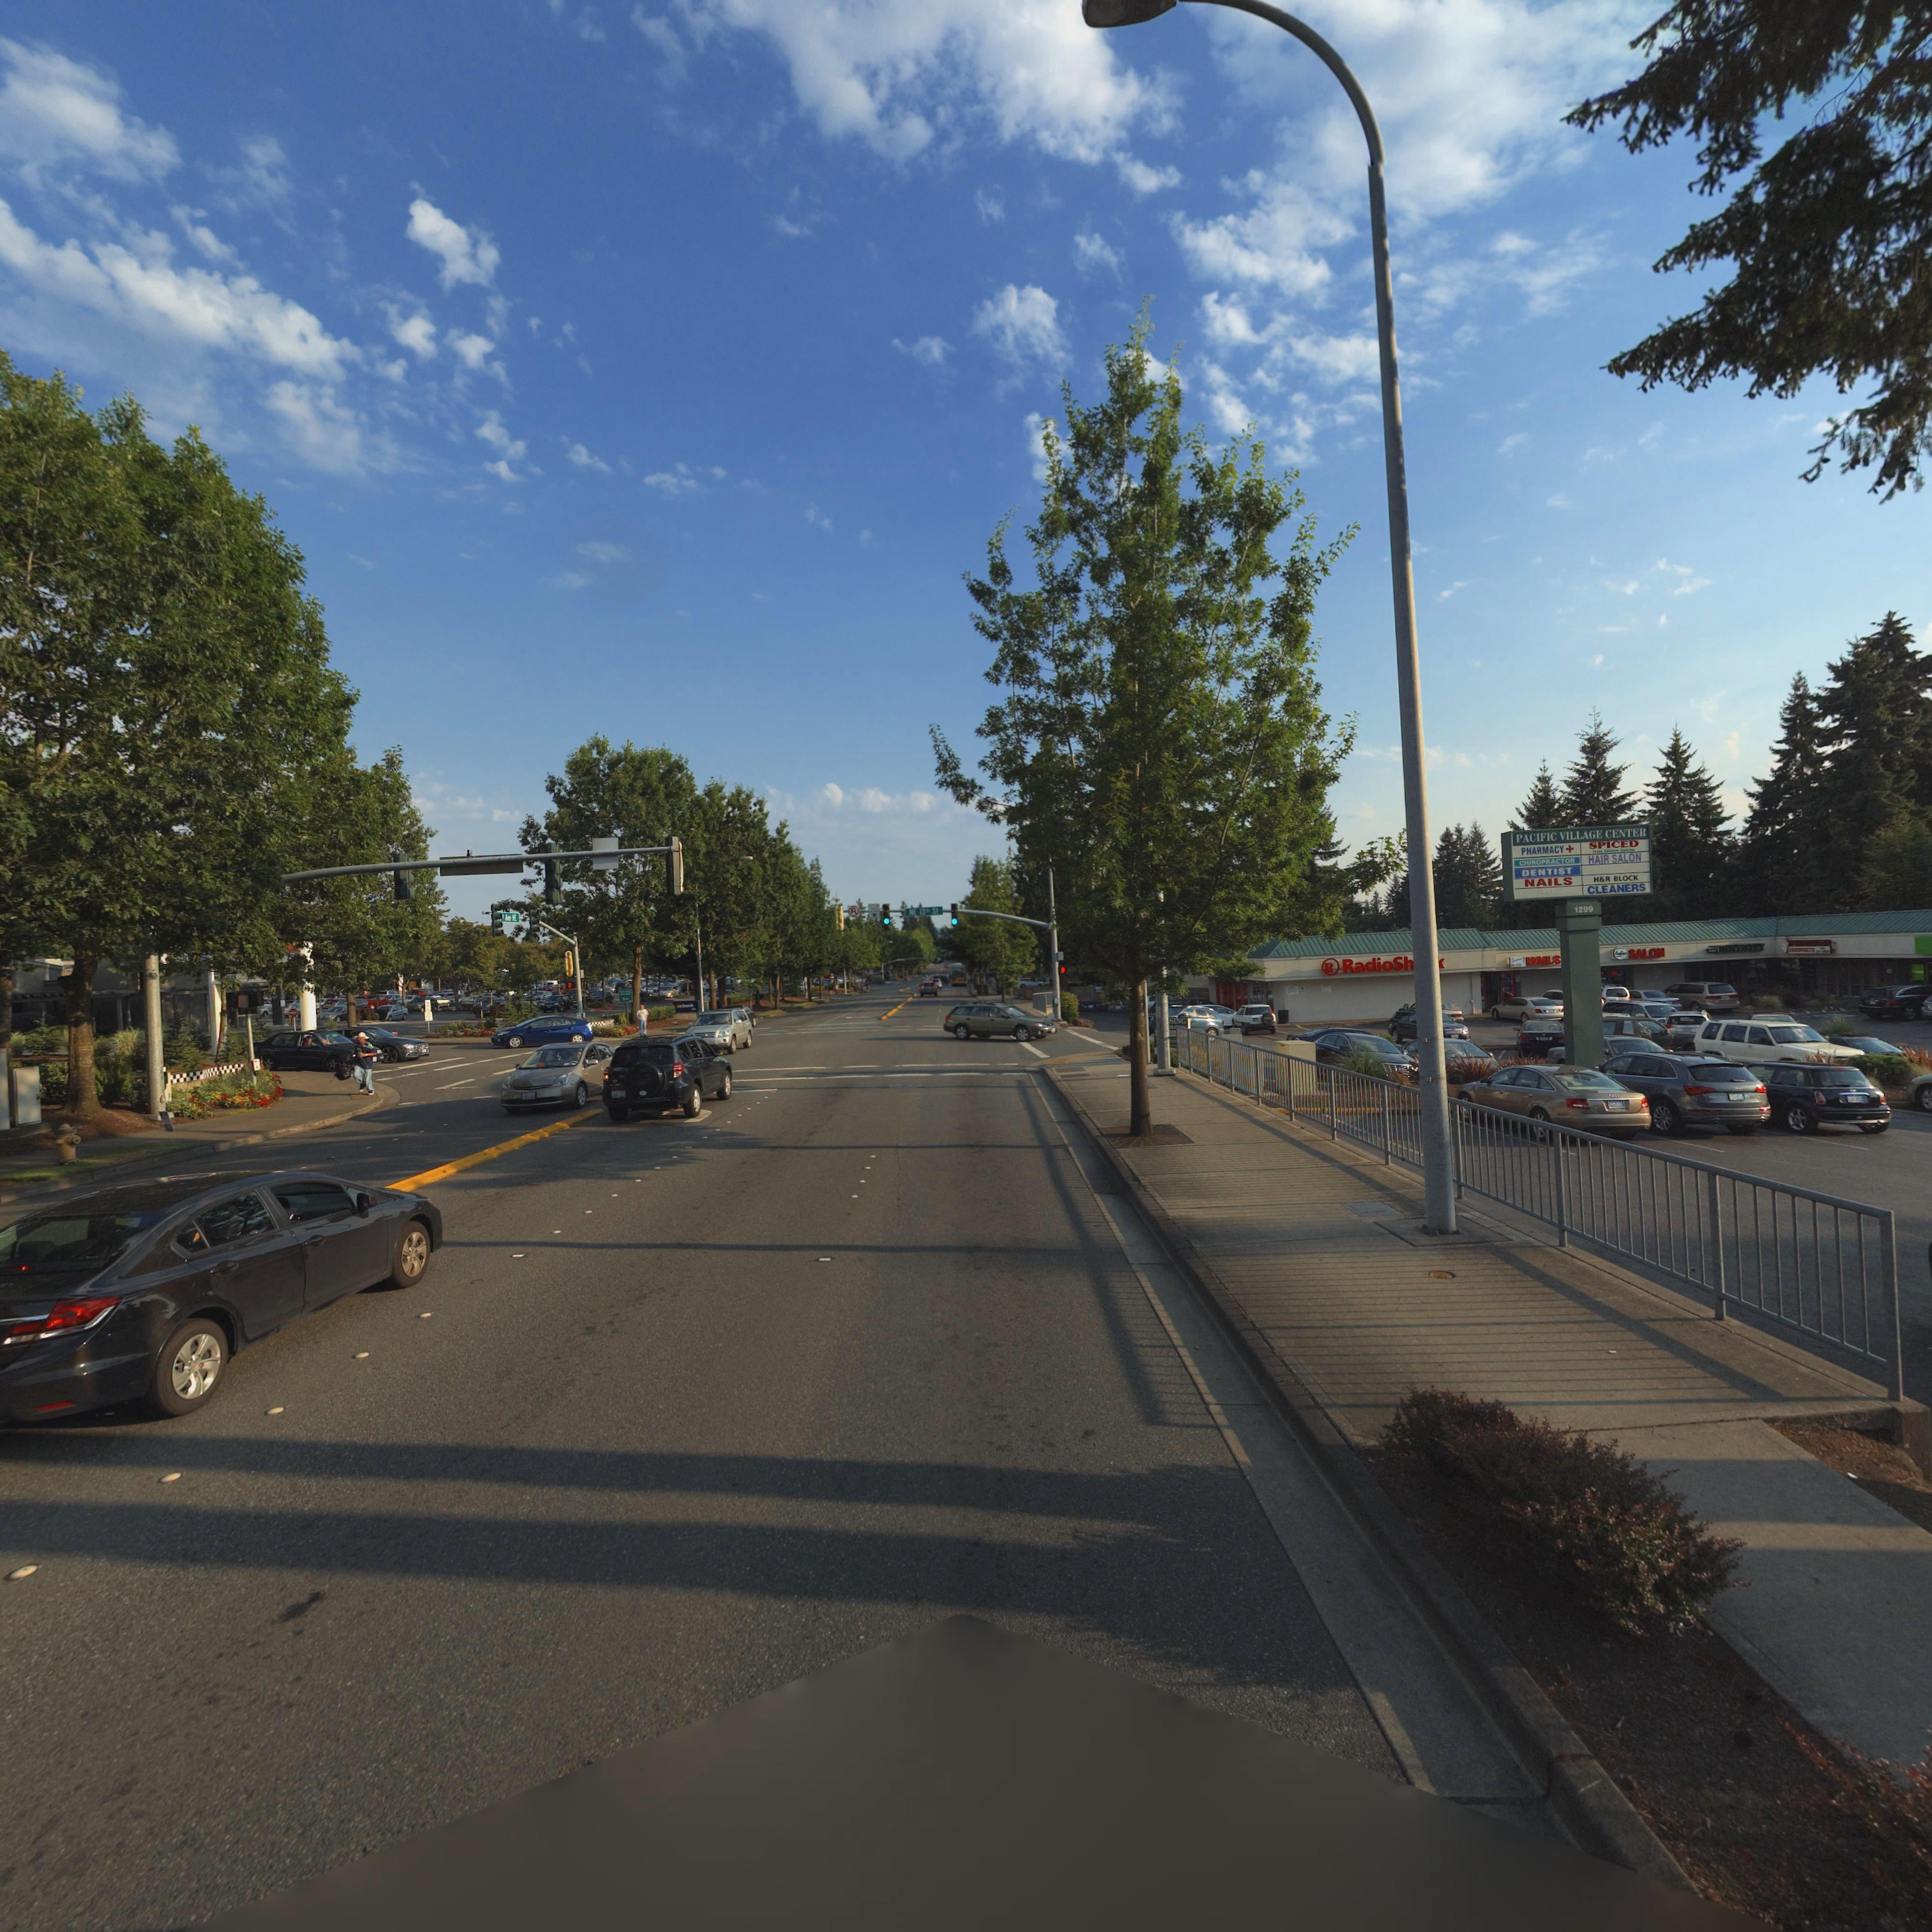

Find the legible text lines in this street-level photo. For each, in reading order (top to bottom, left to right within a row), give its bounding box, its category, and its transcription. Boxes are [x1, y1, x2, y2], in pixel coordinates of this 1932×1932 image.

[1588, 840, 1639, 849] BusinessName: SPICED
[1521, 845, 1564, 855] BusinessName: PHARMACY
[1519, 858, 1574, 865] BusinessName: CHIROPRACTOR
[1588, 852, 1642, 863] BusinessName: HAIR SALON
[1521, 867, 1572, 877] BusinessName: DENTIST
[1525, 877, 1573, 887] BusinessName: NAILS
[1594, 874, 1639, 882] BusinessName: H*R BLOCK
[1587, 883, 1645, 894] BusinessName: CLEANERS
[908, 907, 939, 915] StreetName: NE 13** St
[1574, 905, 1594, 913] StreetNumber: 1299
[1628, 947, 1666, 959] BusinessName: SALON
[1342, 956, 1413, 974] BusinessName: RadioSh
[1526, 955, 1561, 966] BusinessName: NAILS